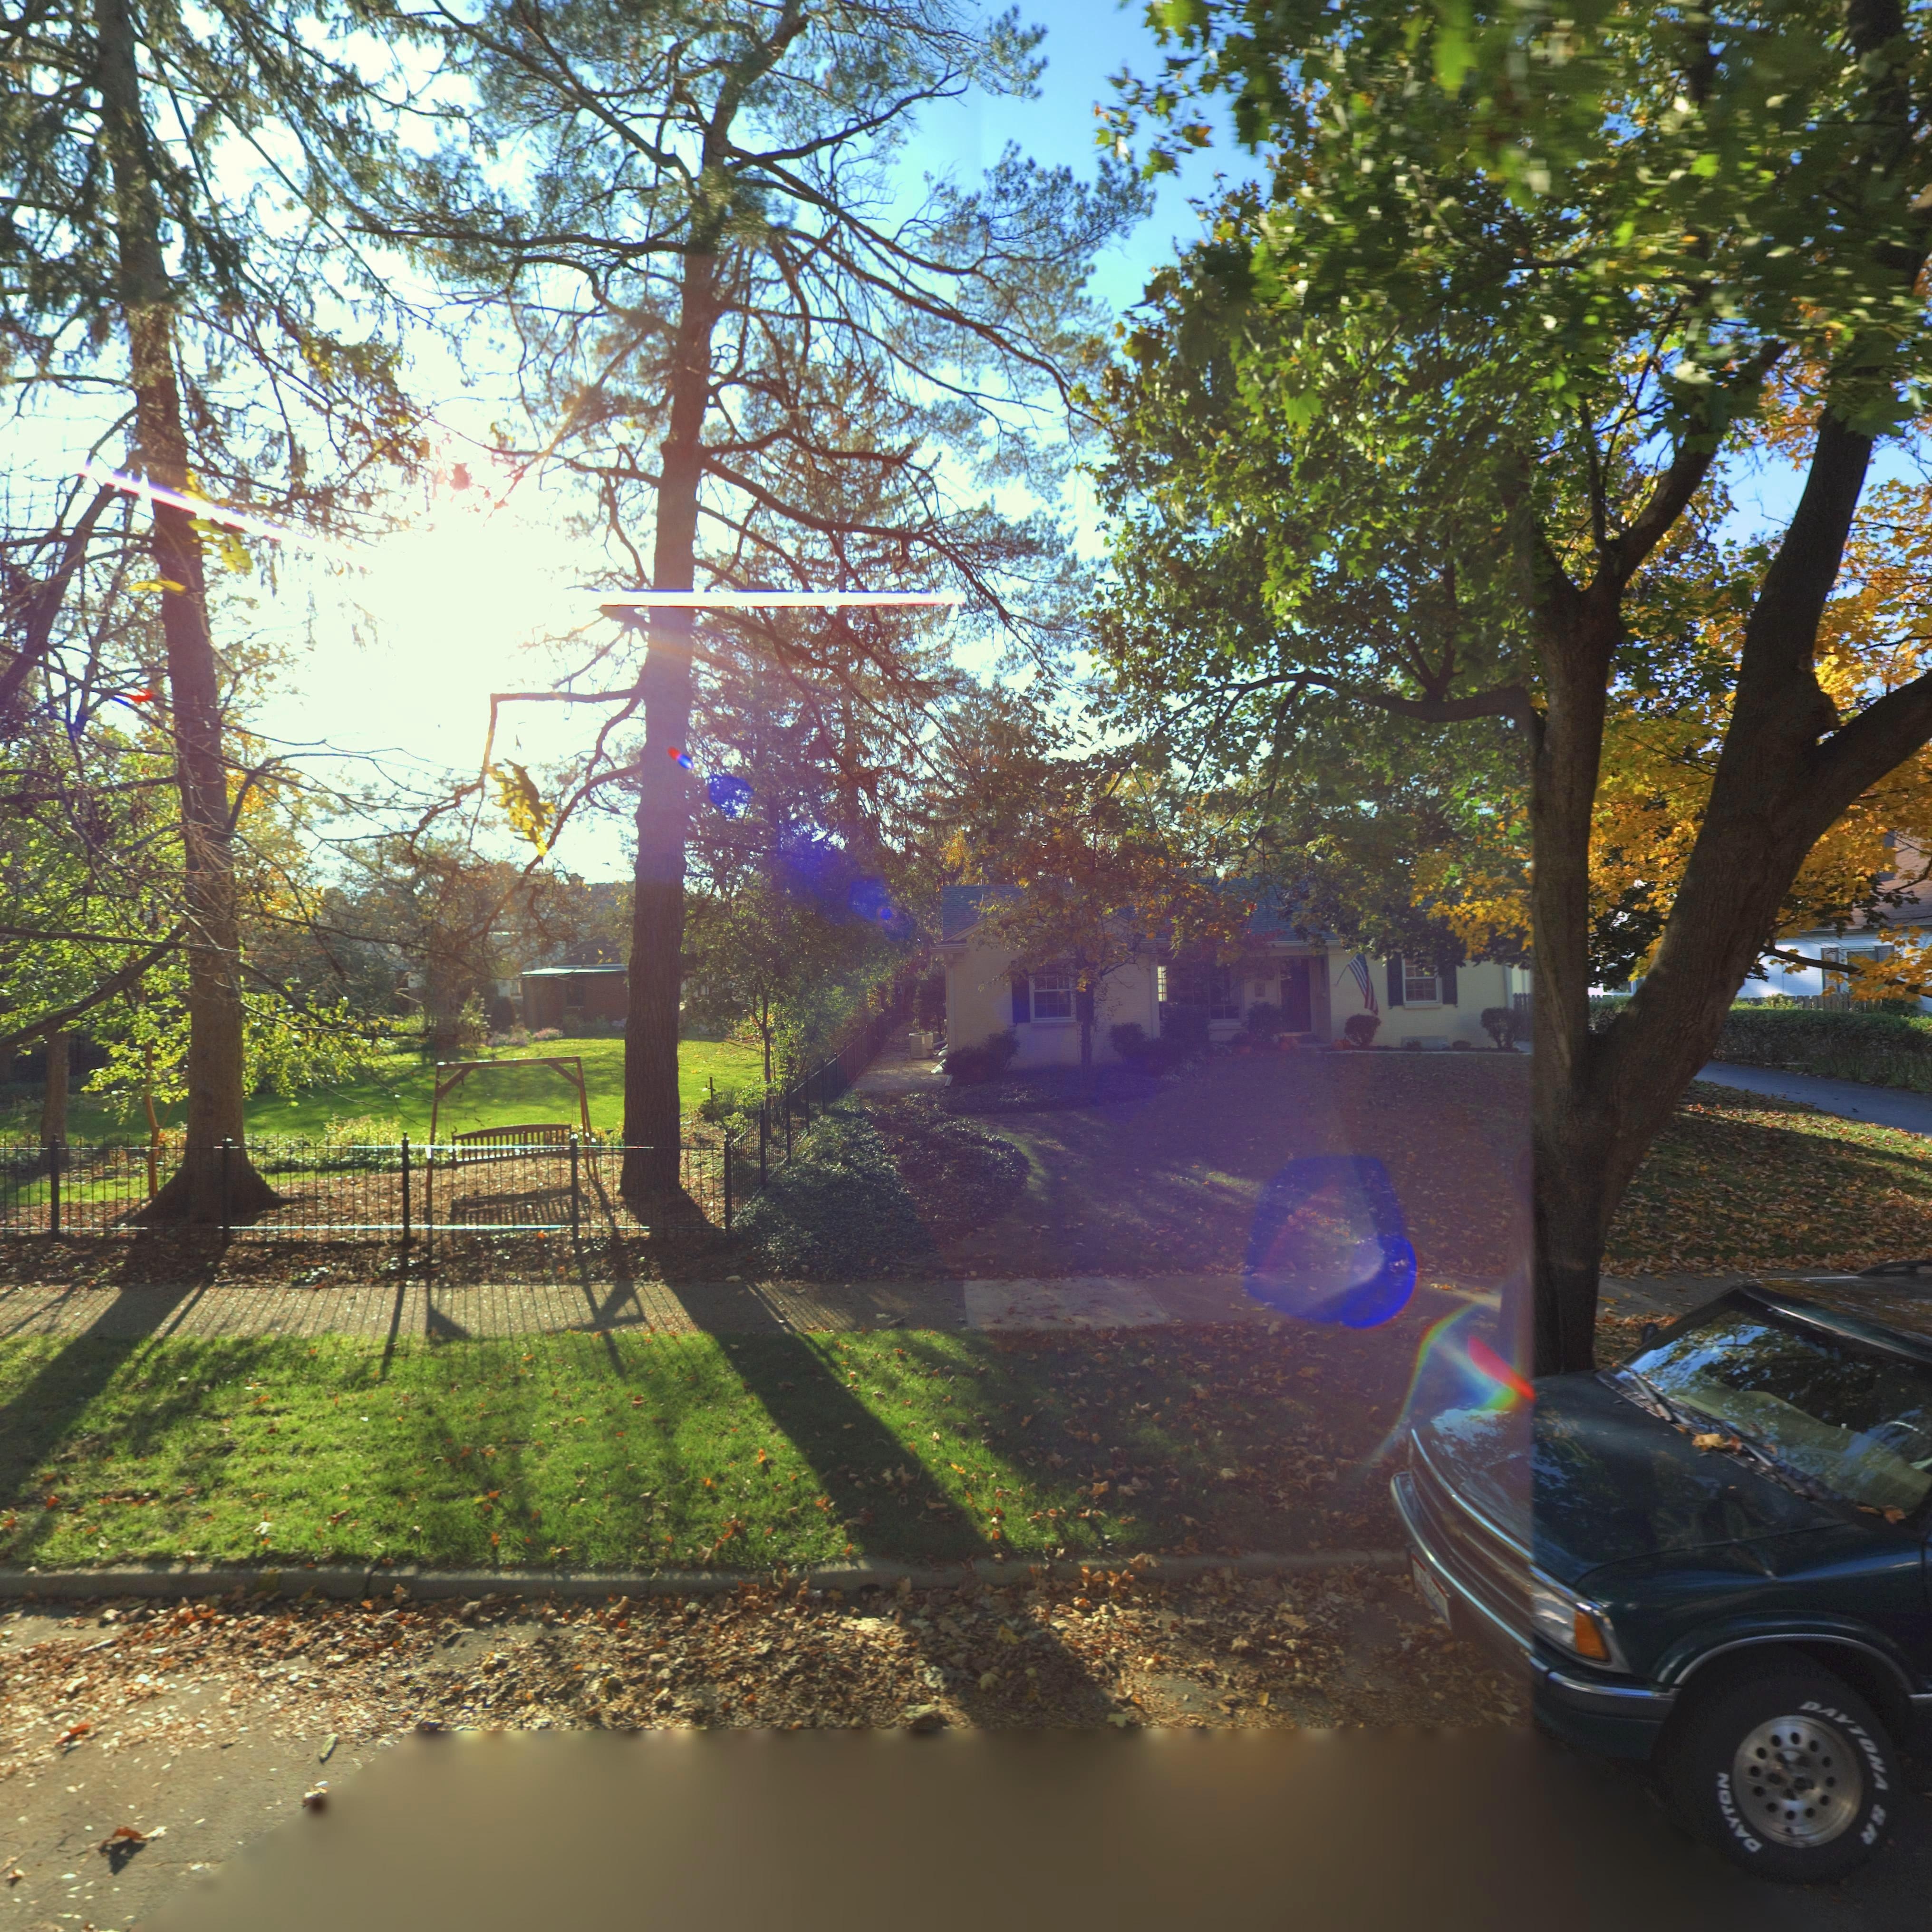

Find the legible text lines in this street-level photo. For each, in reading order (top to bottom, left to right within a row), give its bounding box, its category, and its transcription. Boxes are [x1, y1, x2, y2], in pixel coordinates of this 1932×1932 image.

[1298, 947, 1314, 955] StreetNumber: 50*